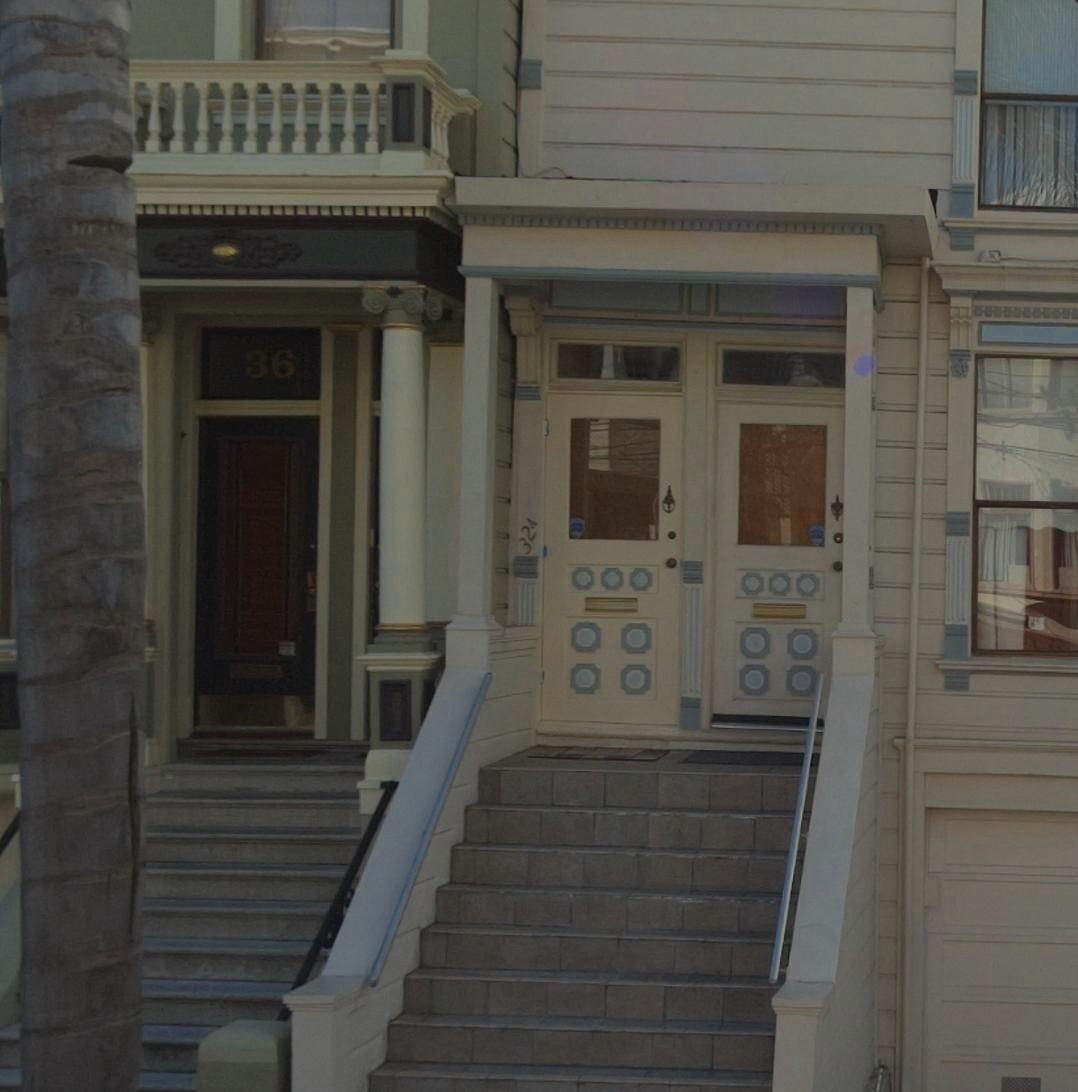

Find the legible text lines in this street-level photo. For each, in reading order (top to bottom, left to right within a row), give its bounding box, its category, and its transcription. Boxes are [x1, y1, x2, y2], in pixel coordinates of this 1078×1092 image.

[244, 347, 295, 380] StreetNumber: 36
[516, 515, 541, 557] StreetNumber: 32A